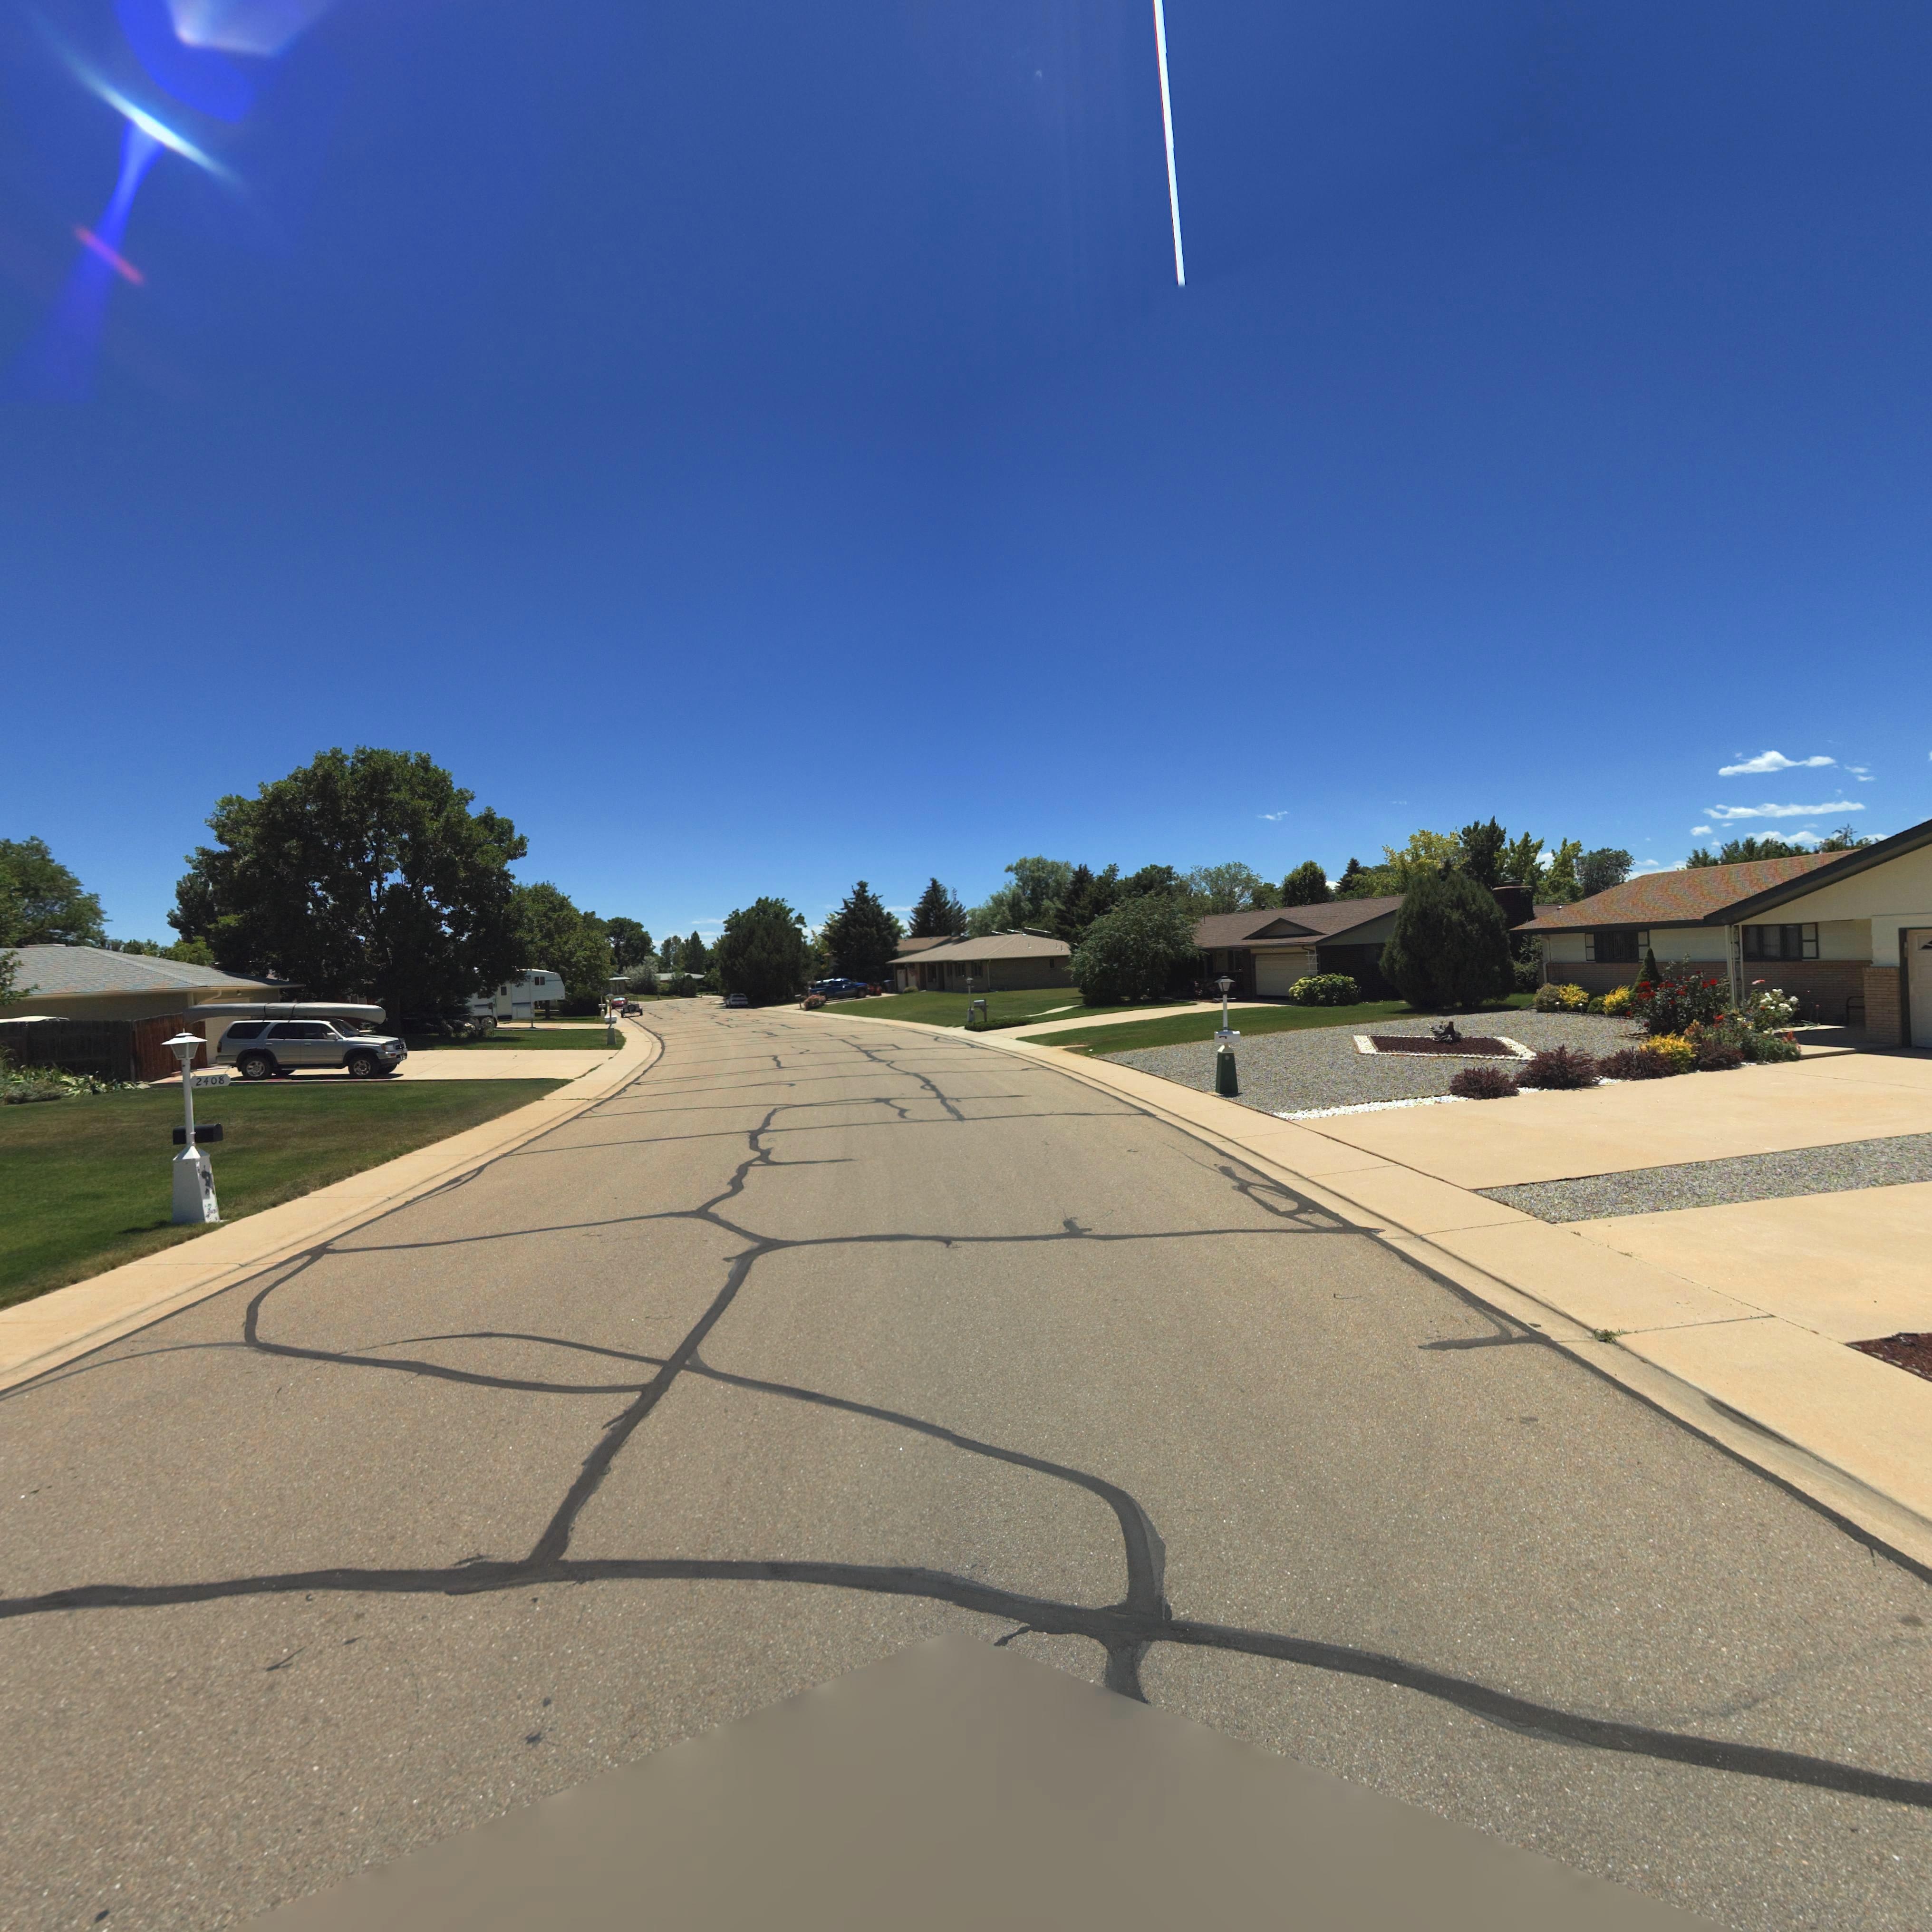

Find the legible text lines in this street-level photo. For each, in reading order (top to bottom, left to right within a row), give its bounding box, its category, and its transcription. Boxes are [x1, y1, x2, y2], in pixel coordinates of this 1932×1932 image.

[195, 1075, 225, 1087] StreetNumber: 2408